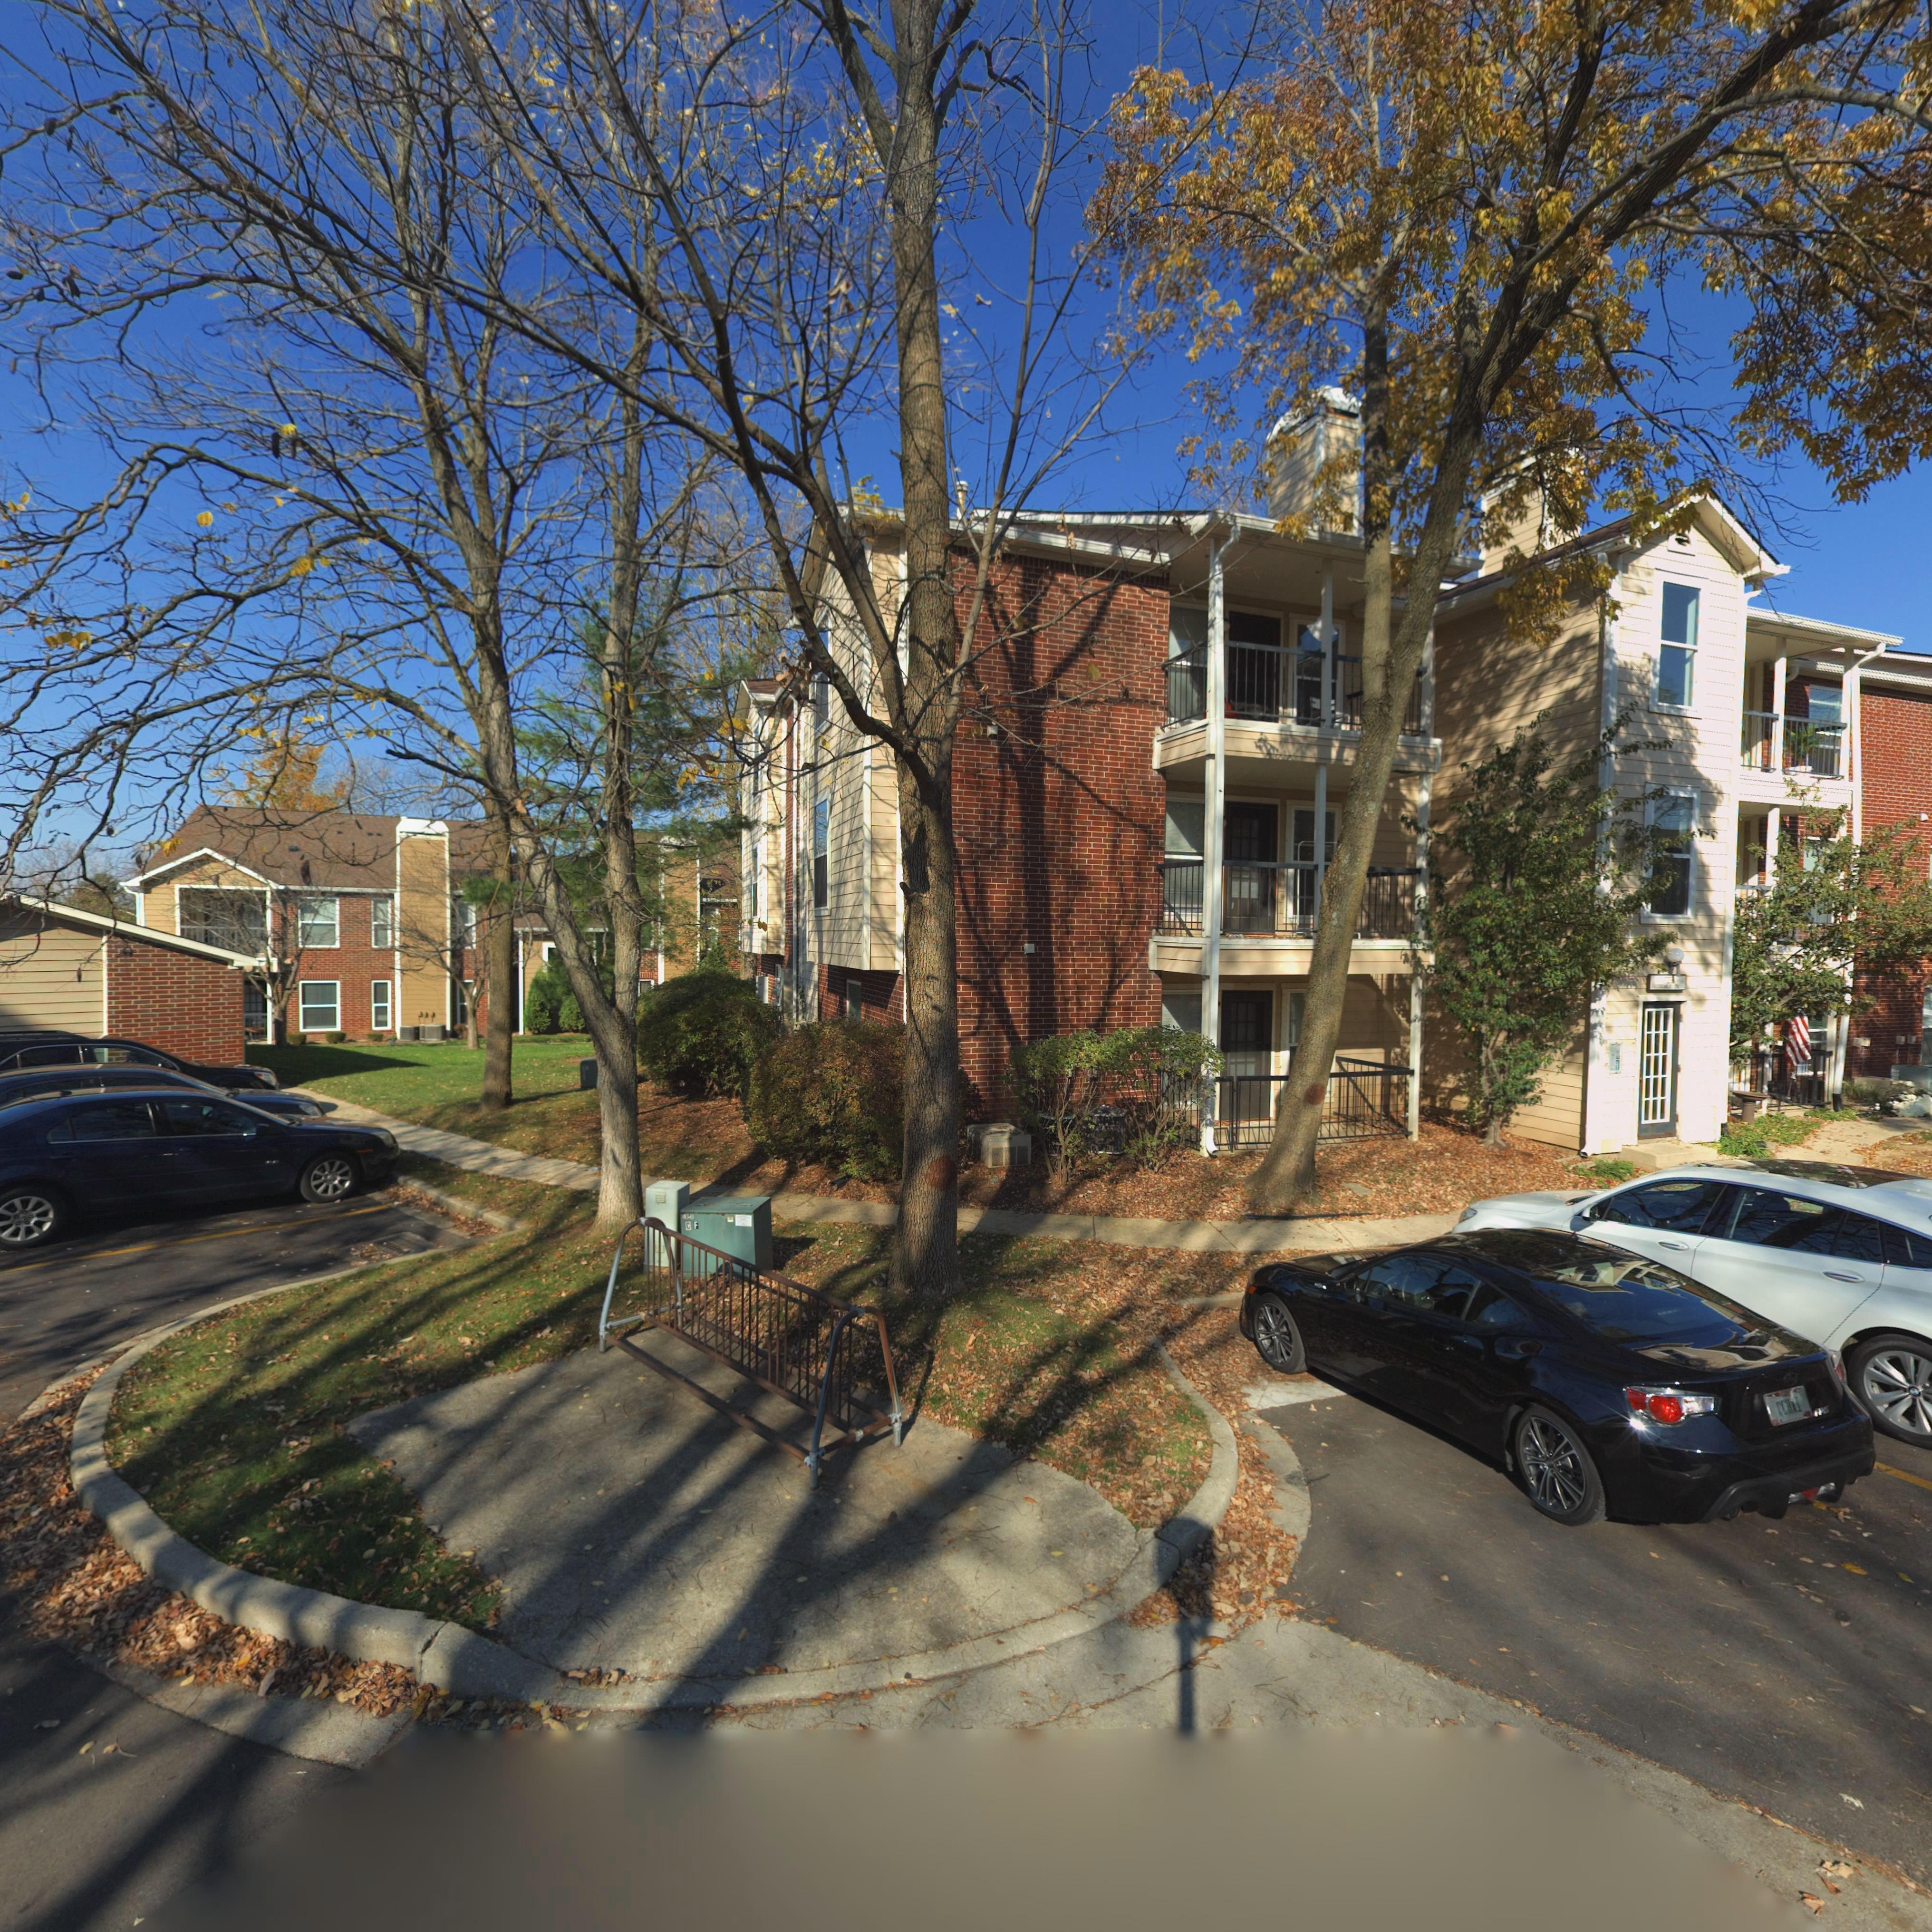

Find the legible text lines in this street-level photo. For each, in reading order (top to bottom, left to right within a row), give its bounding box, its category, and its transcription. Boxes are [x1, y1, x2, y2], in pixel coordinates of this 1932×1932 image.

[685, 1221, 692, 1231] None: C
[693, 1220, 698, 1230] None: F